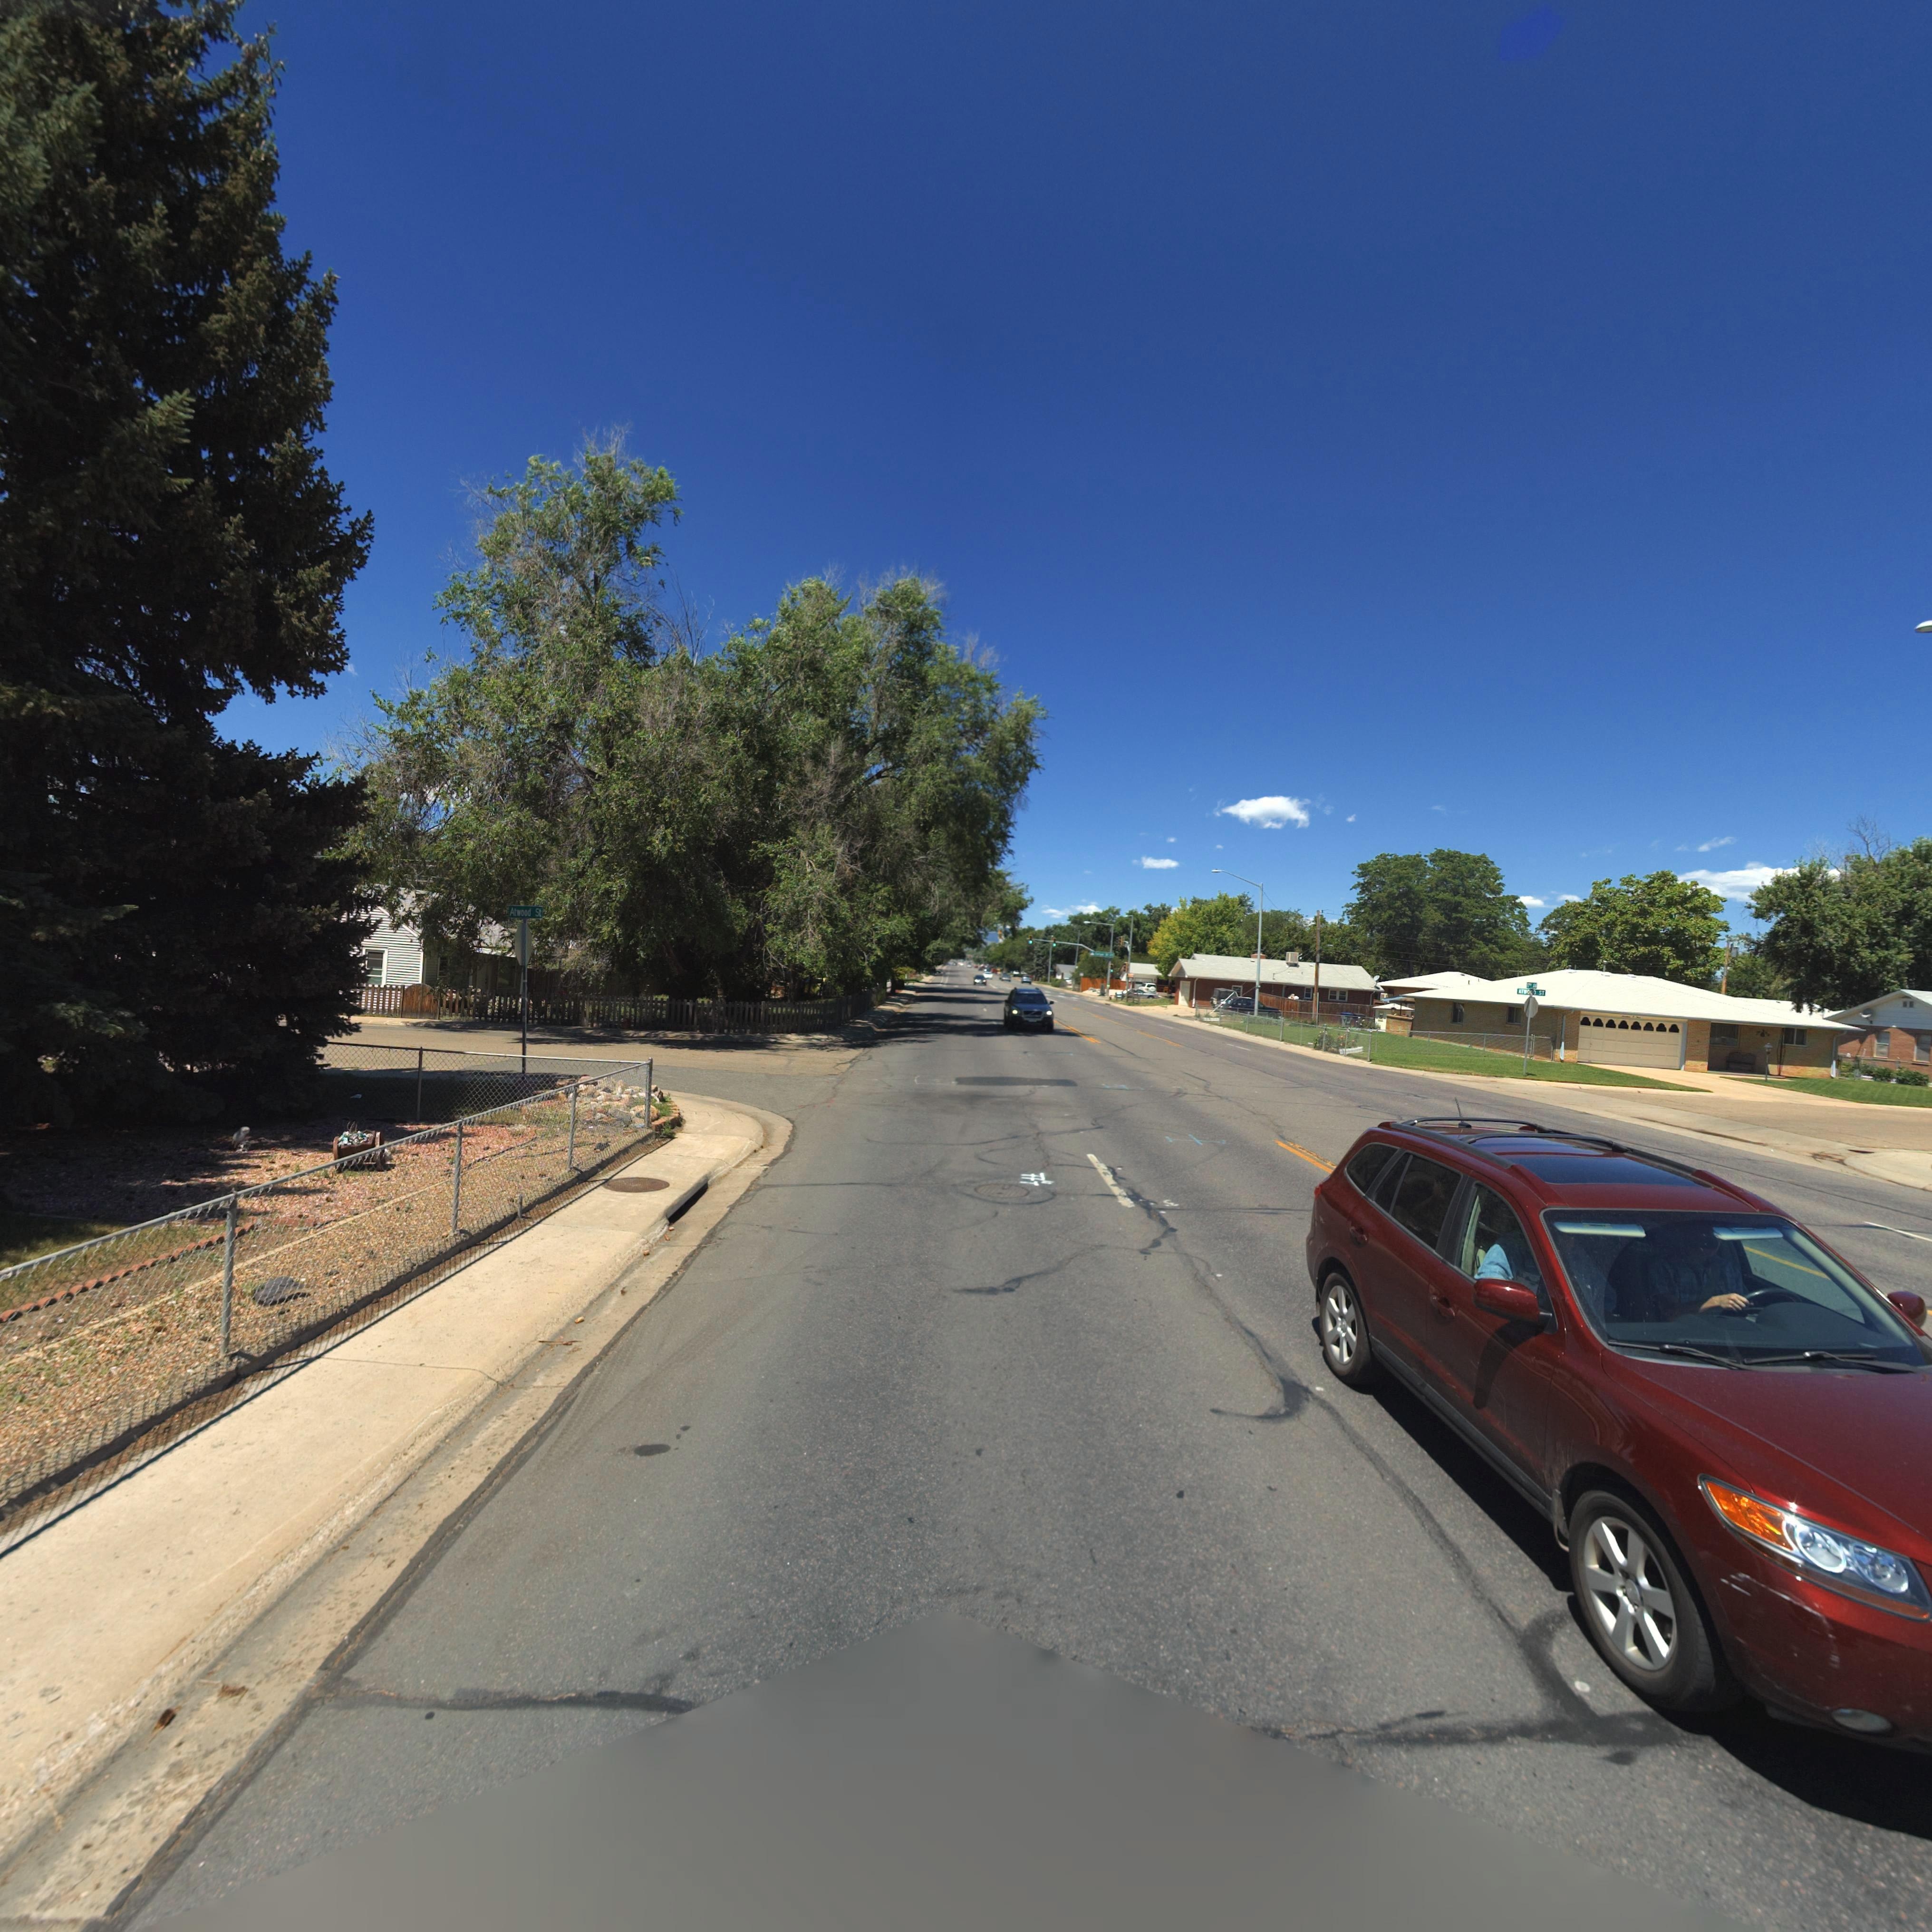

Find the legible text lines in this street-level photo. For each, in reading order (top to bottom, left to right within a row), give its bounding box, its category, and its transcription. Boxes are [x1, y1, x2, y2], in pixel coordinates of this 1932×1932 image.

[509, 907, 541, 917] StreetName: Atwood St
[1518, 989, 1545, 995] StreetName: ATWOOD ST